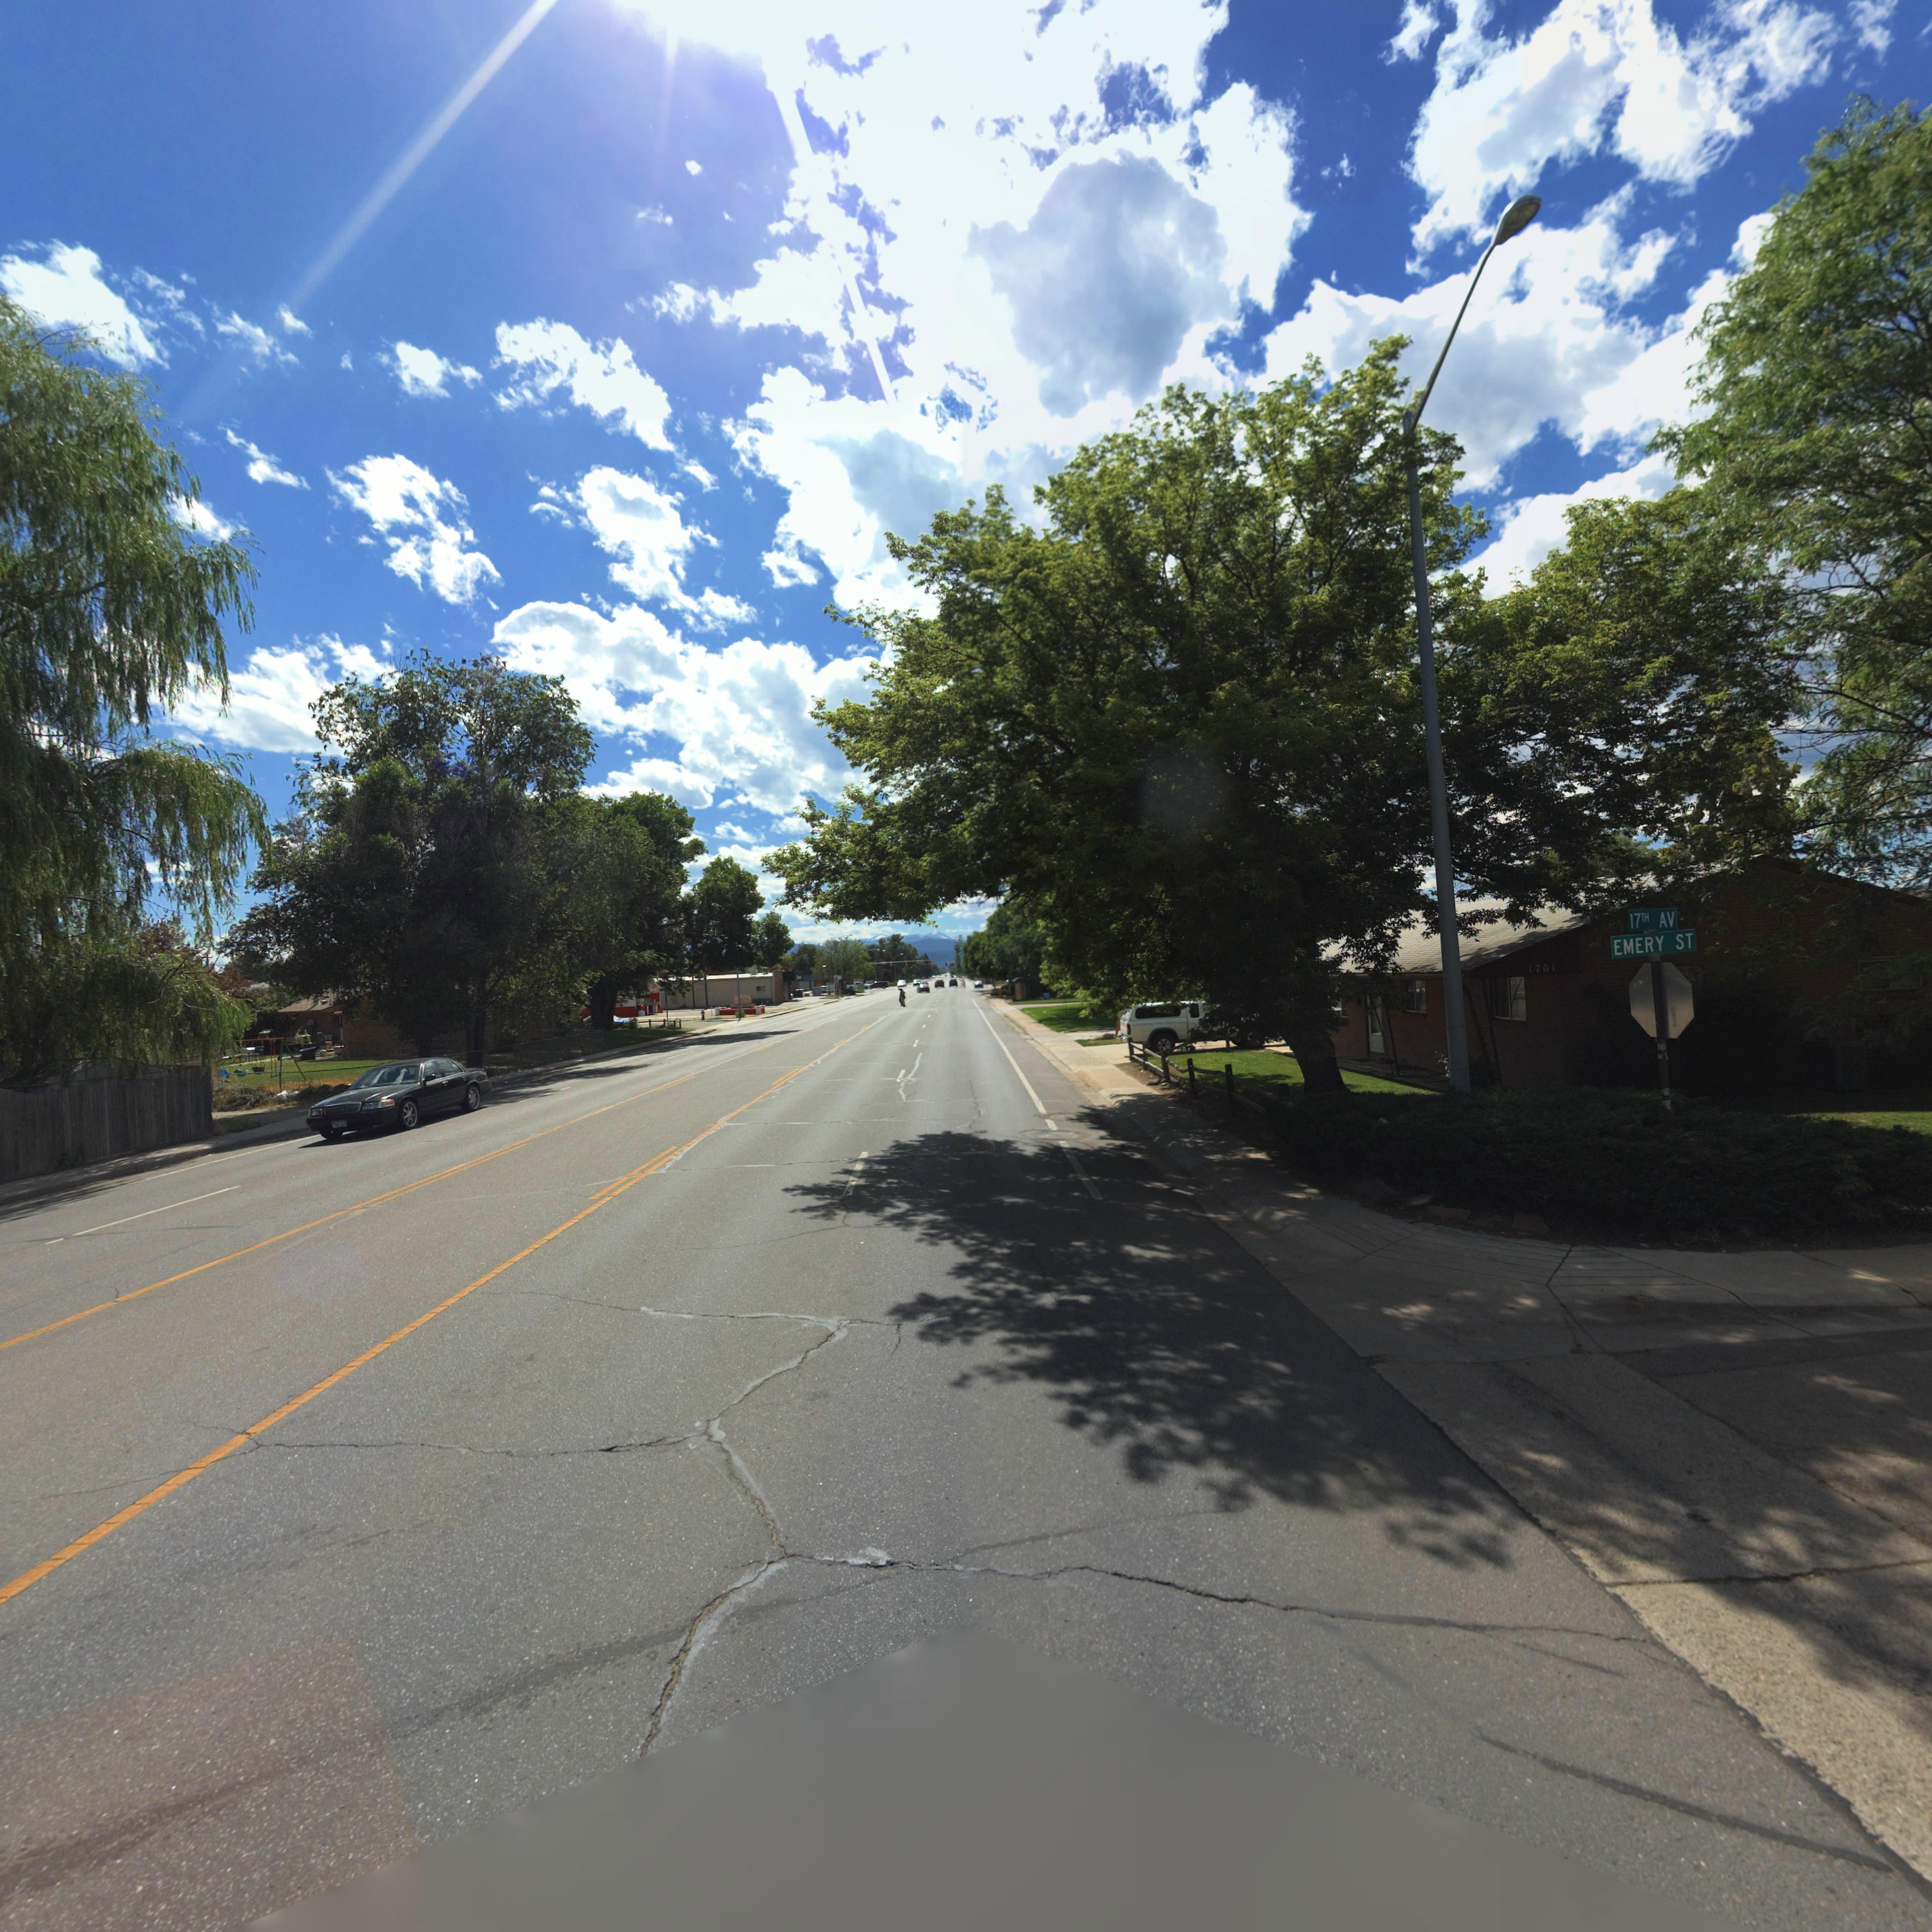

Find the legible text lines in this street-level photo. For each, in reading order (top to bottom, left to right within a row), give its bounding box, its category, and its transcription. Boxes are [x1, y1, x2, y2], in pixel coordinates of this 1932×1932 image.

[1629, 910, 1676, 930] StreetName: 17TH AV
[1613, 932, 1693, 956] StreetName: EMERY ST
[1526, 963, 1557, 974] StreetNumber: 1701